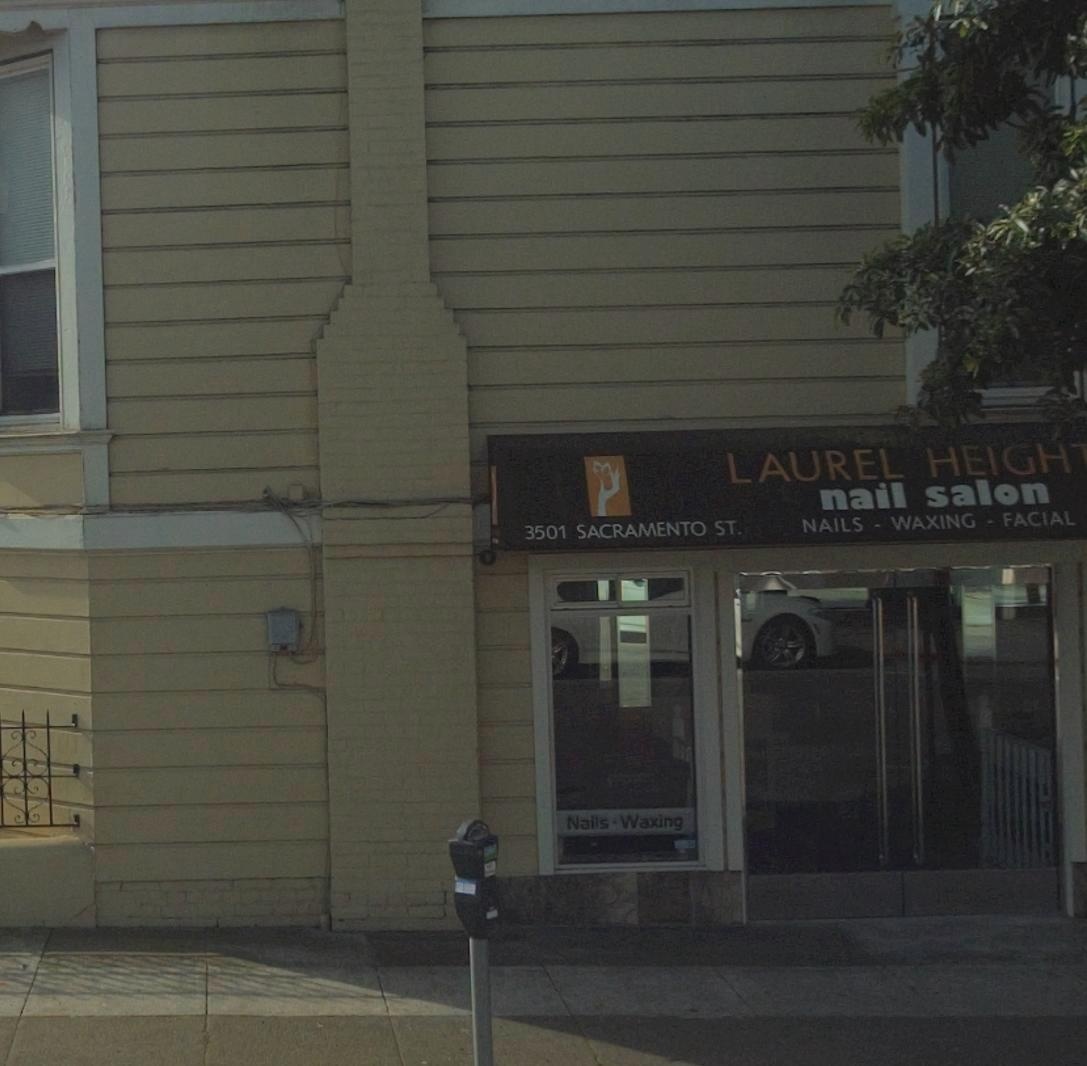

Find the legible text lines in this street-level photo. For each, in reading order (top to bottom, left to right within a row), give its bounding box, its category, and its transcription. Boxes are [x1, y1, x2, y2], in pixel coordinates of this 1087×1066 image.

[720, 438, 1078, 491] BusinessName: LAUREL HEIGH
[812, 475, 1057, 516] BusinessName: nail salon
[521, 521, 569, 543] StreetNumber: 3501
[573, 516, 746, 543] StreetName: SACRAMENTO ST.
[799, 507, 1078, 536] None: NAILS - WAXING - FACIAL
[564, 810, 687, 834] None: Nails * Waxing